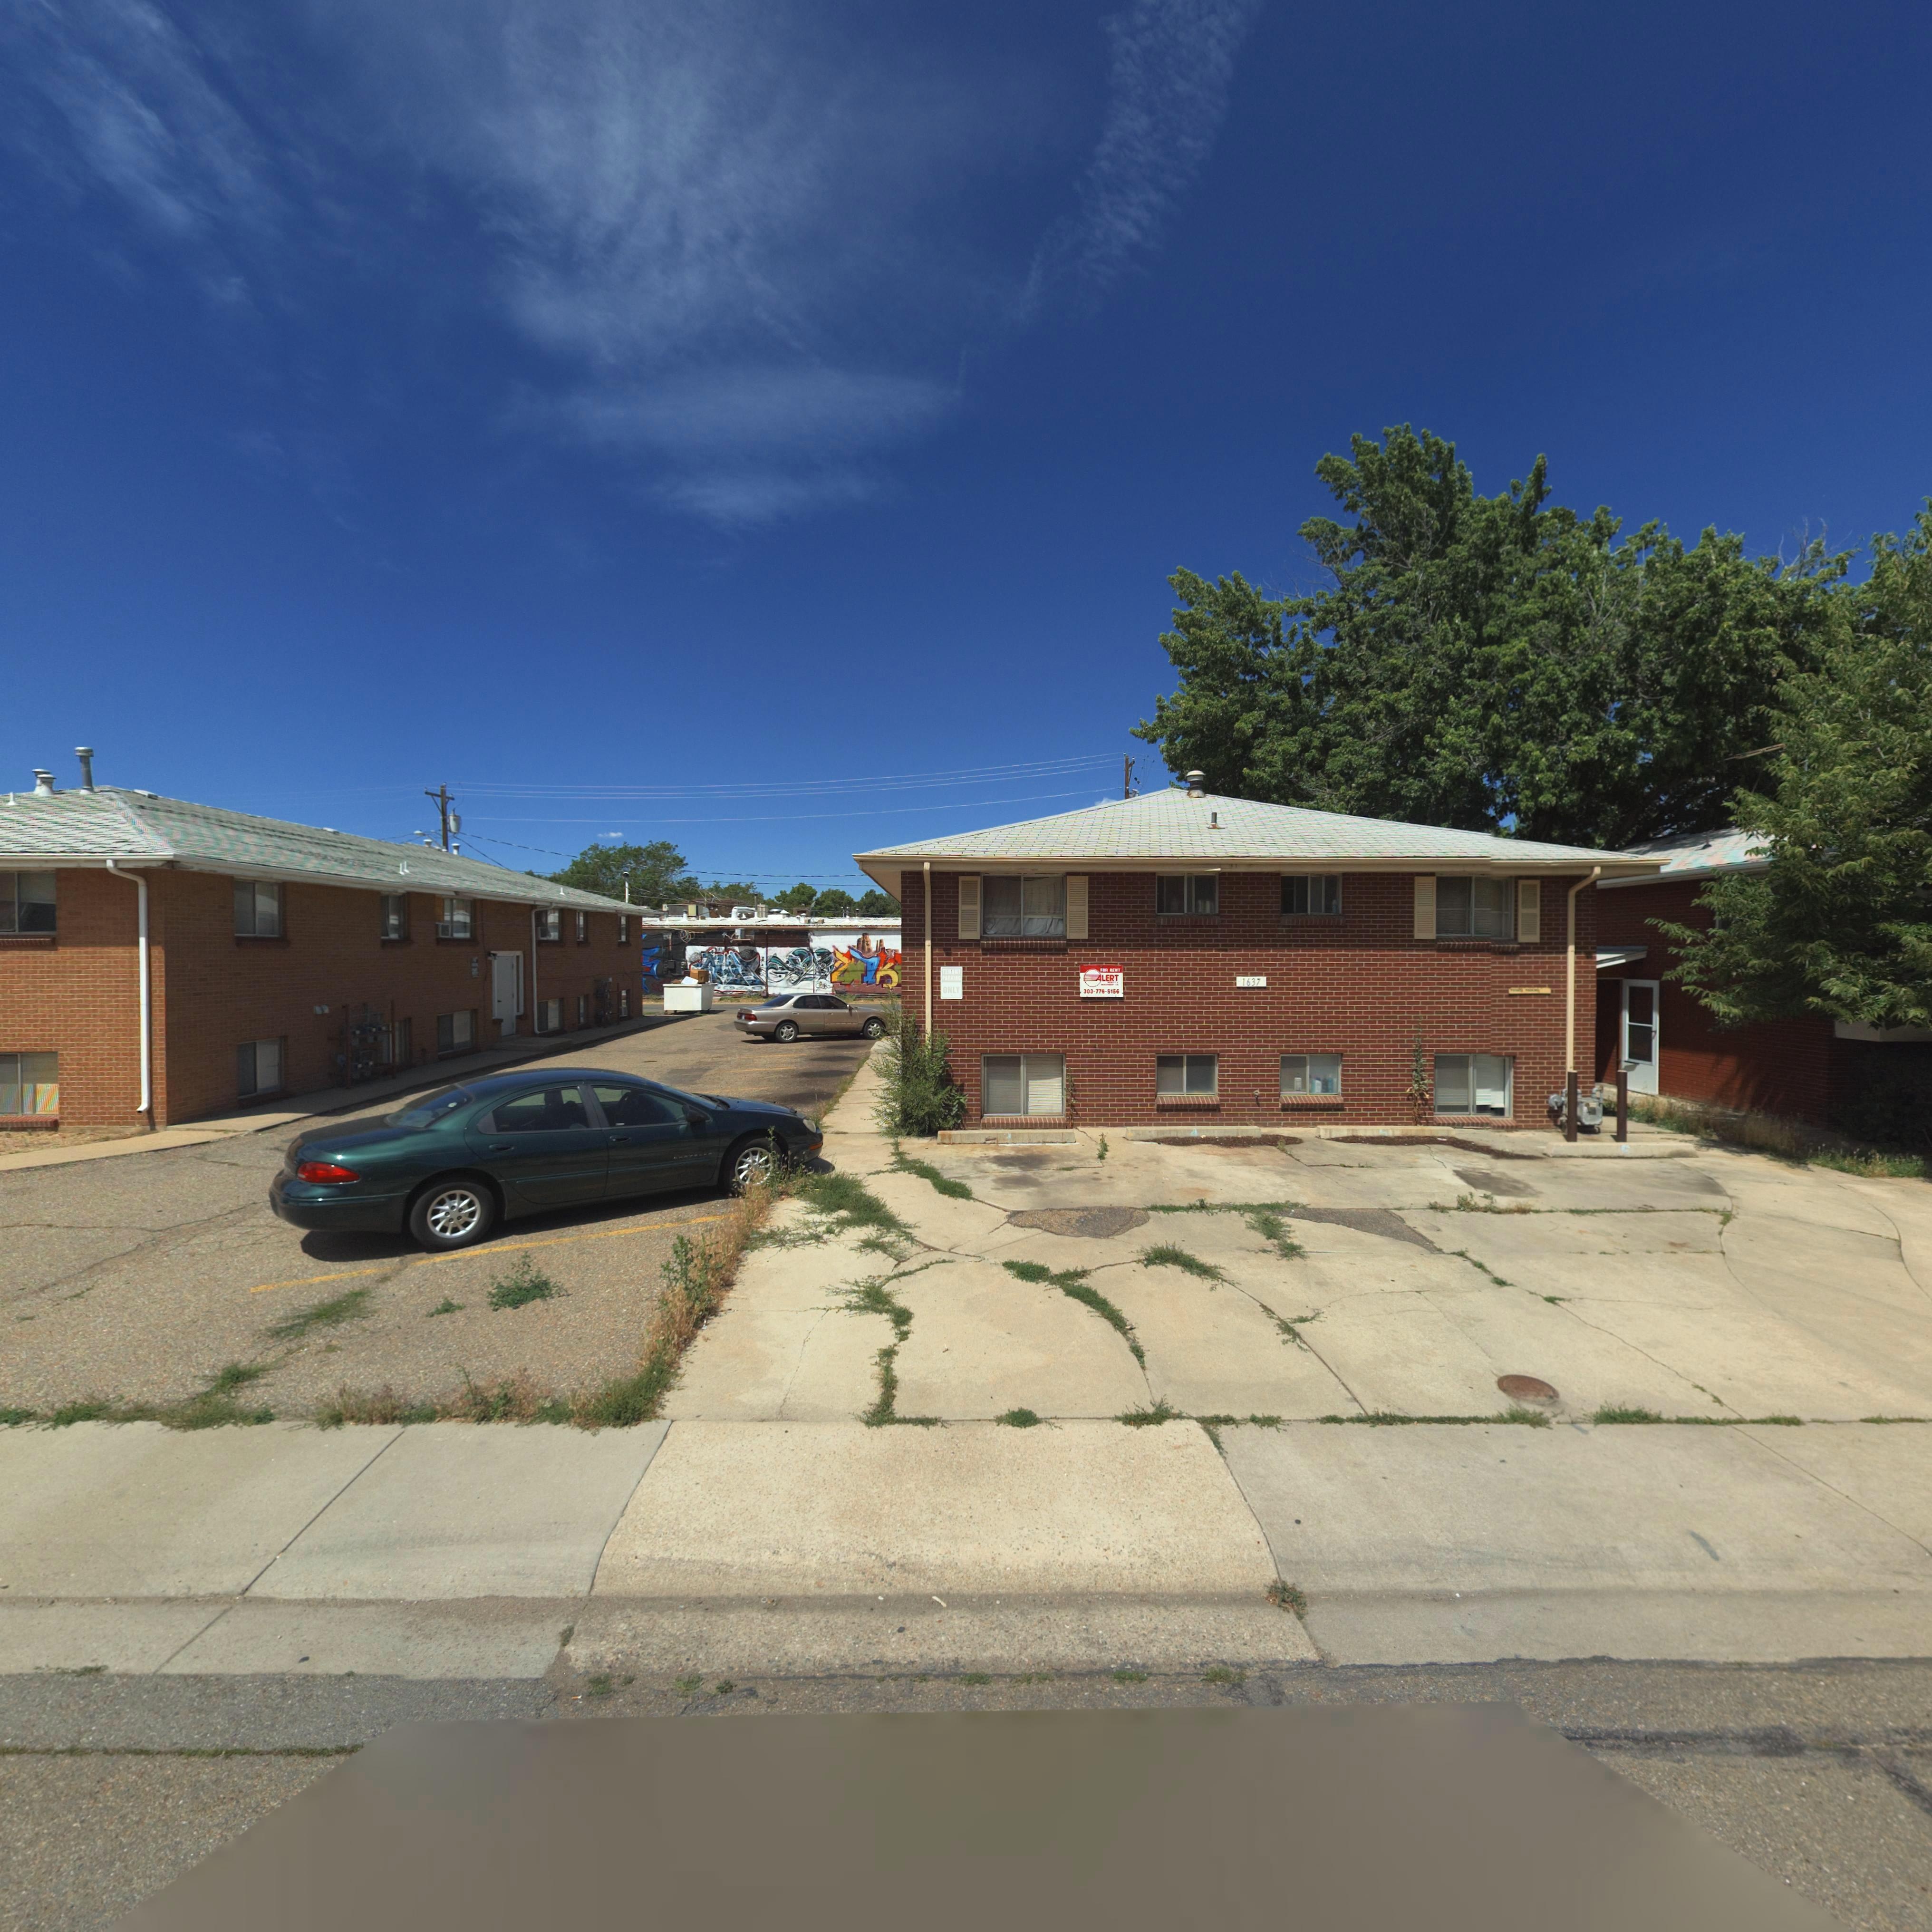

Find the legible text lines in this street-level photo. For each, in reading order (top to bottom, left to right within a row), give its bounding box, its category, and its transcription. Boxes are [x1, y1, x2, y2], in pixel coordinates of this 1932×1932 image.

[1242, 977, 1261, 986] StreetNumber: 1637